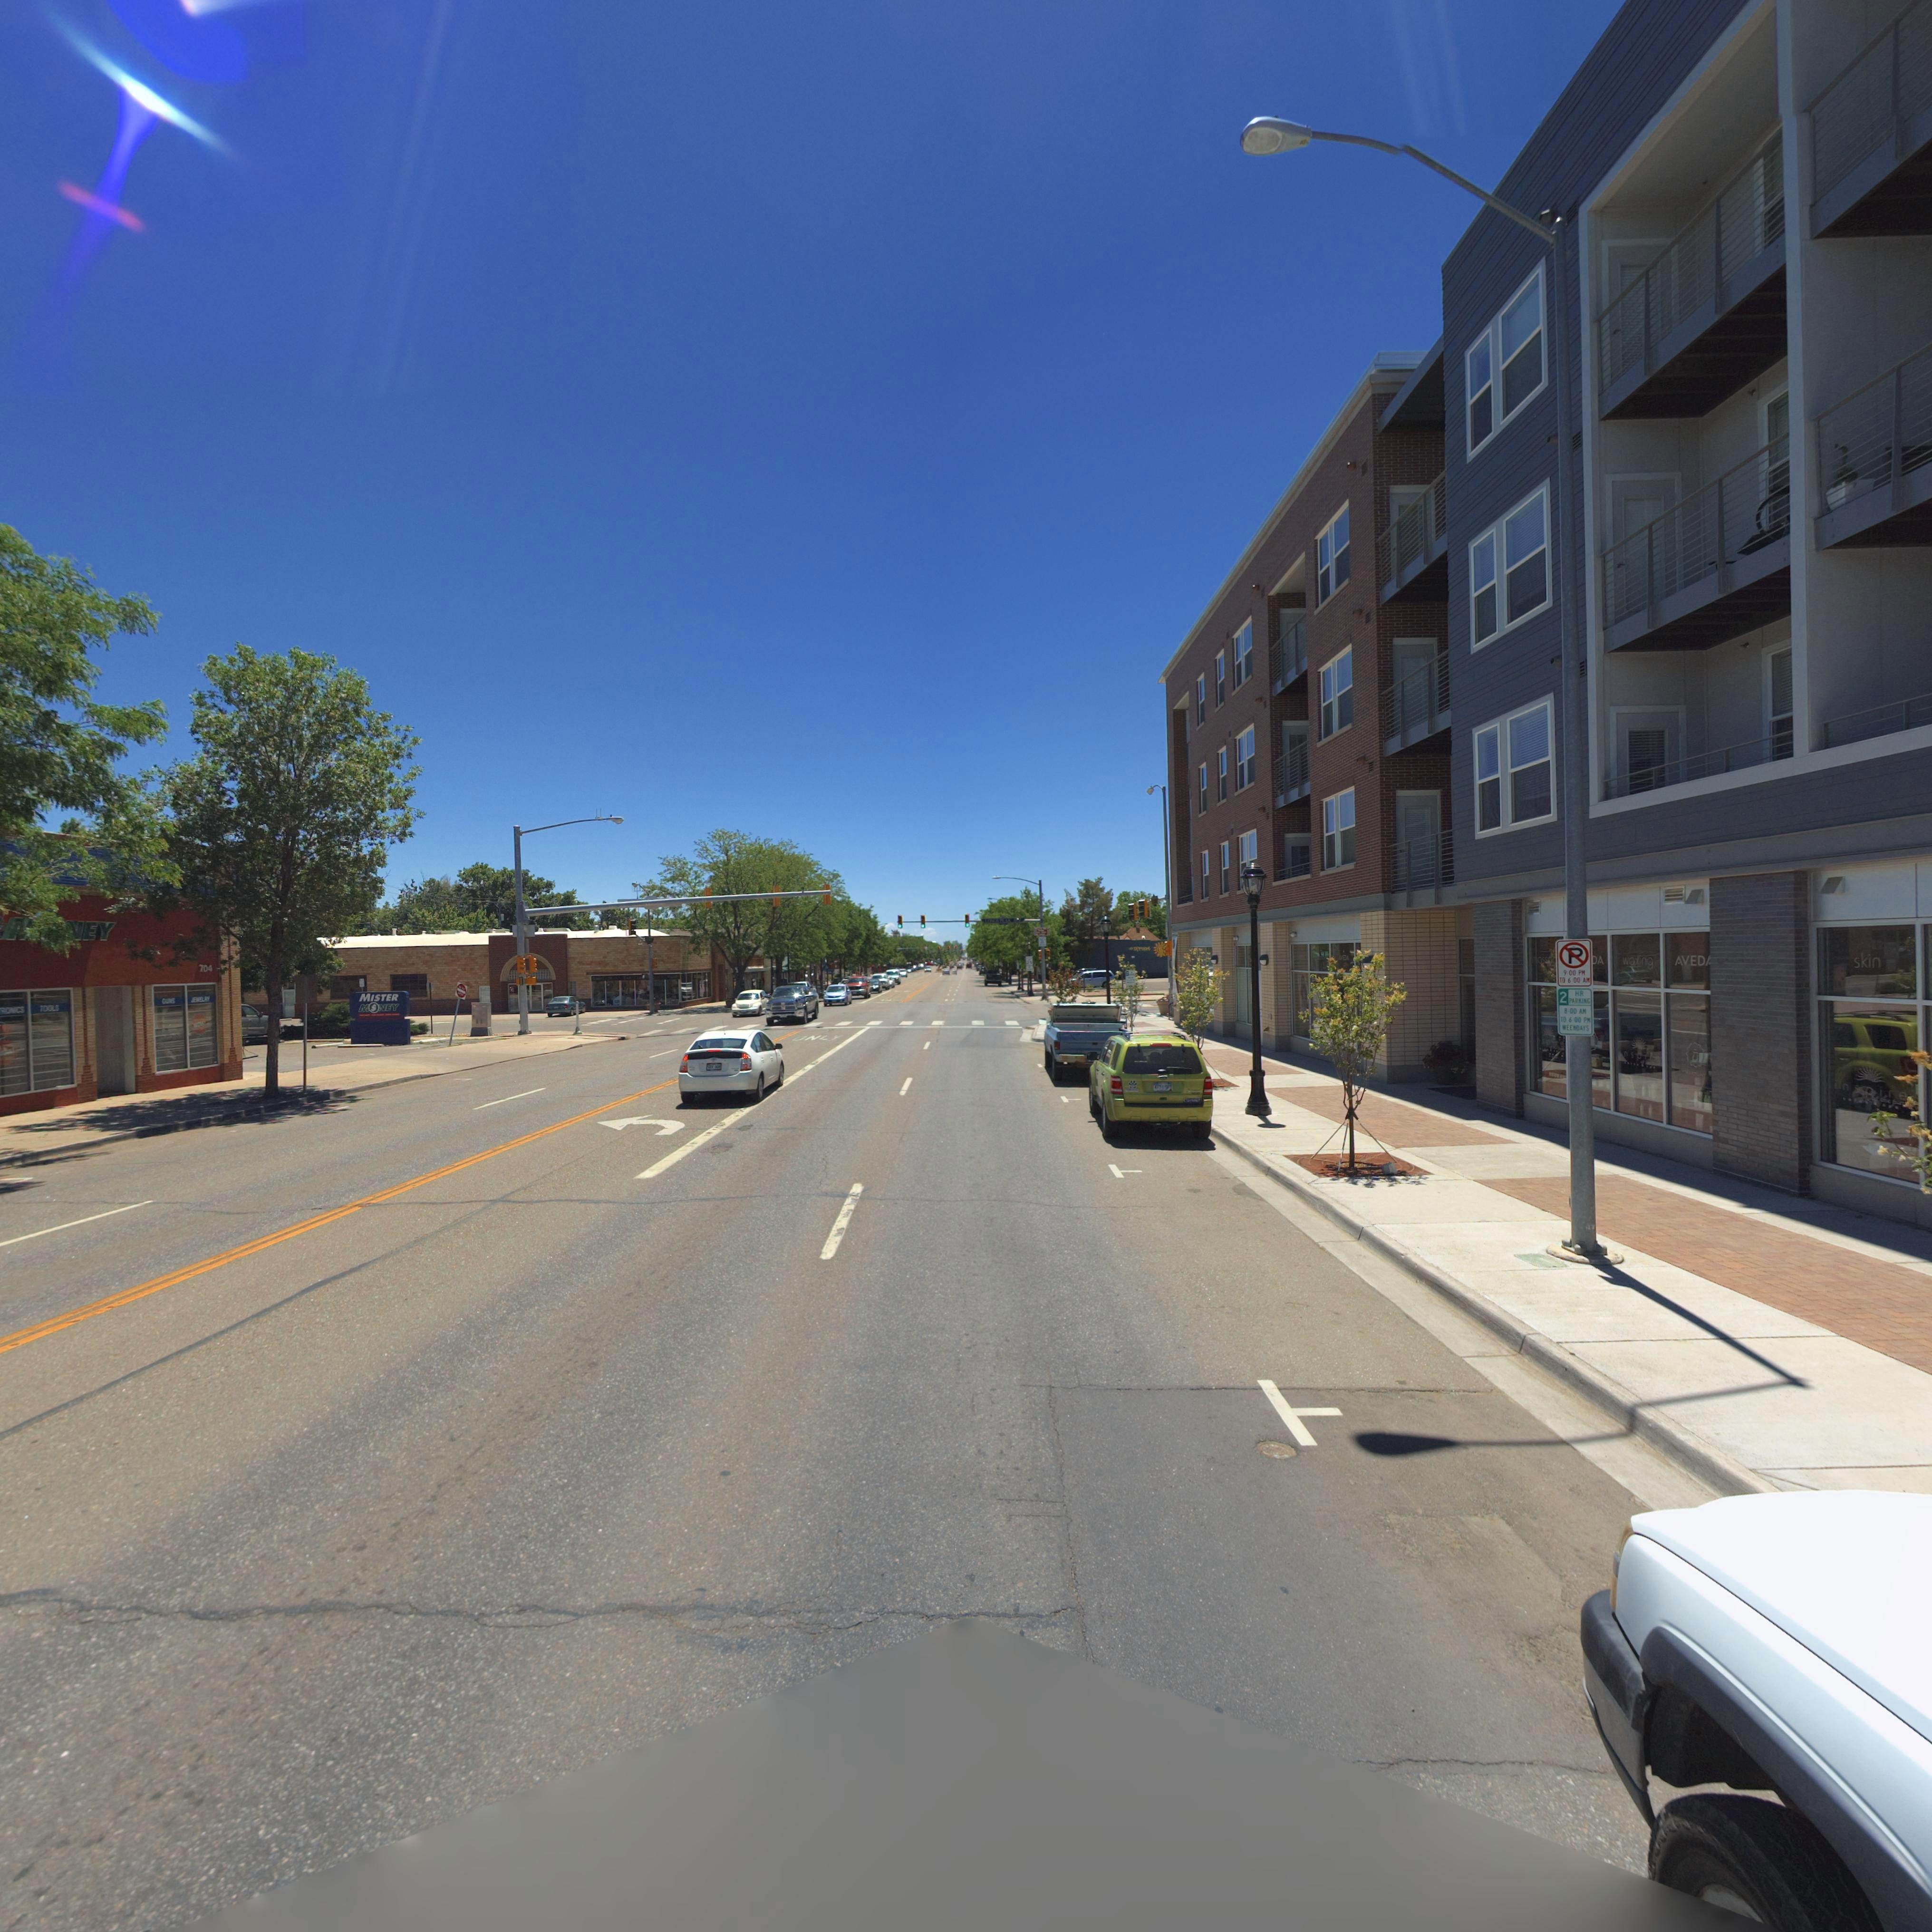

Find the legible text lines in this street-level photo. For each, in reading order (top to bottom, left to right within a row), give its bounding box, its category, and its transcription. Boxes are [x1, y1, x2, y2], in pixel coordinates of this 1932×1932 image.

[2, 916, 115, 940] BusinessName: M*NEY
[199, 964, 213, 972] StreetNumber: 704
[358, 993, 398, 1002] BusinessName: MISTER
[358, 1002, 399, 1014] BusinessName: M*NEY
[1619, 1050, 1660, 1062] BusinessName: inspire
[1839, 1080, 1908, 1101] BusinessName: inspire